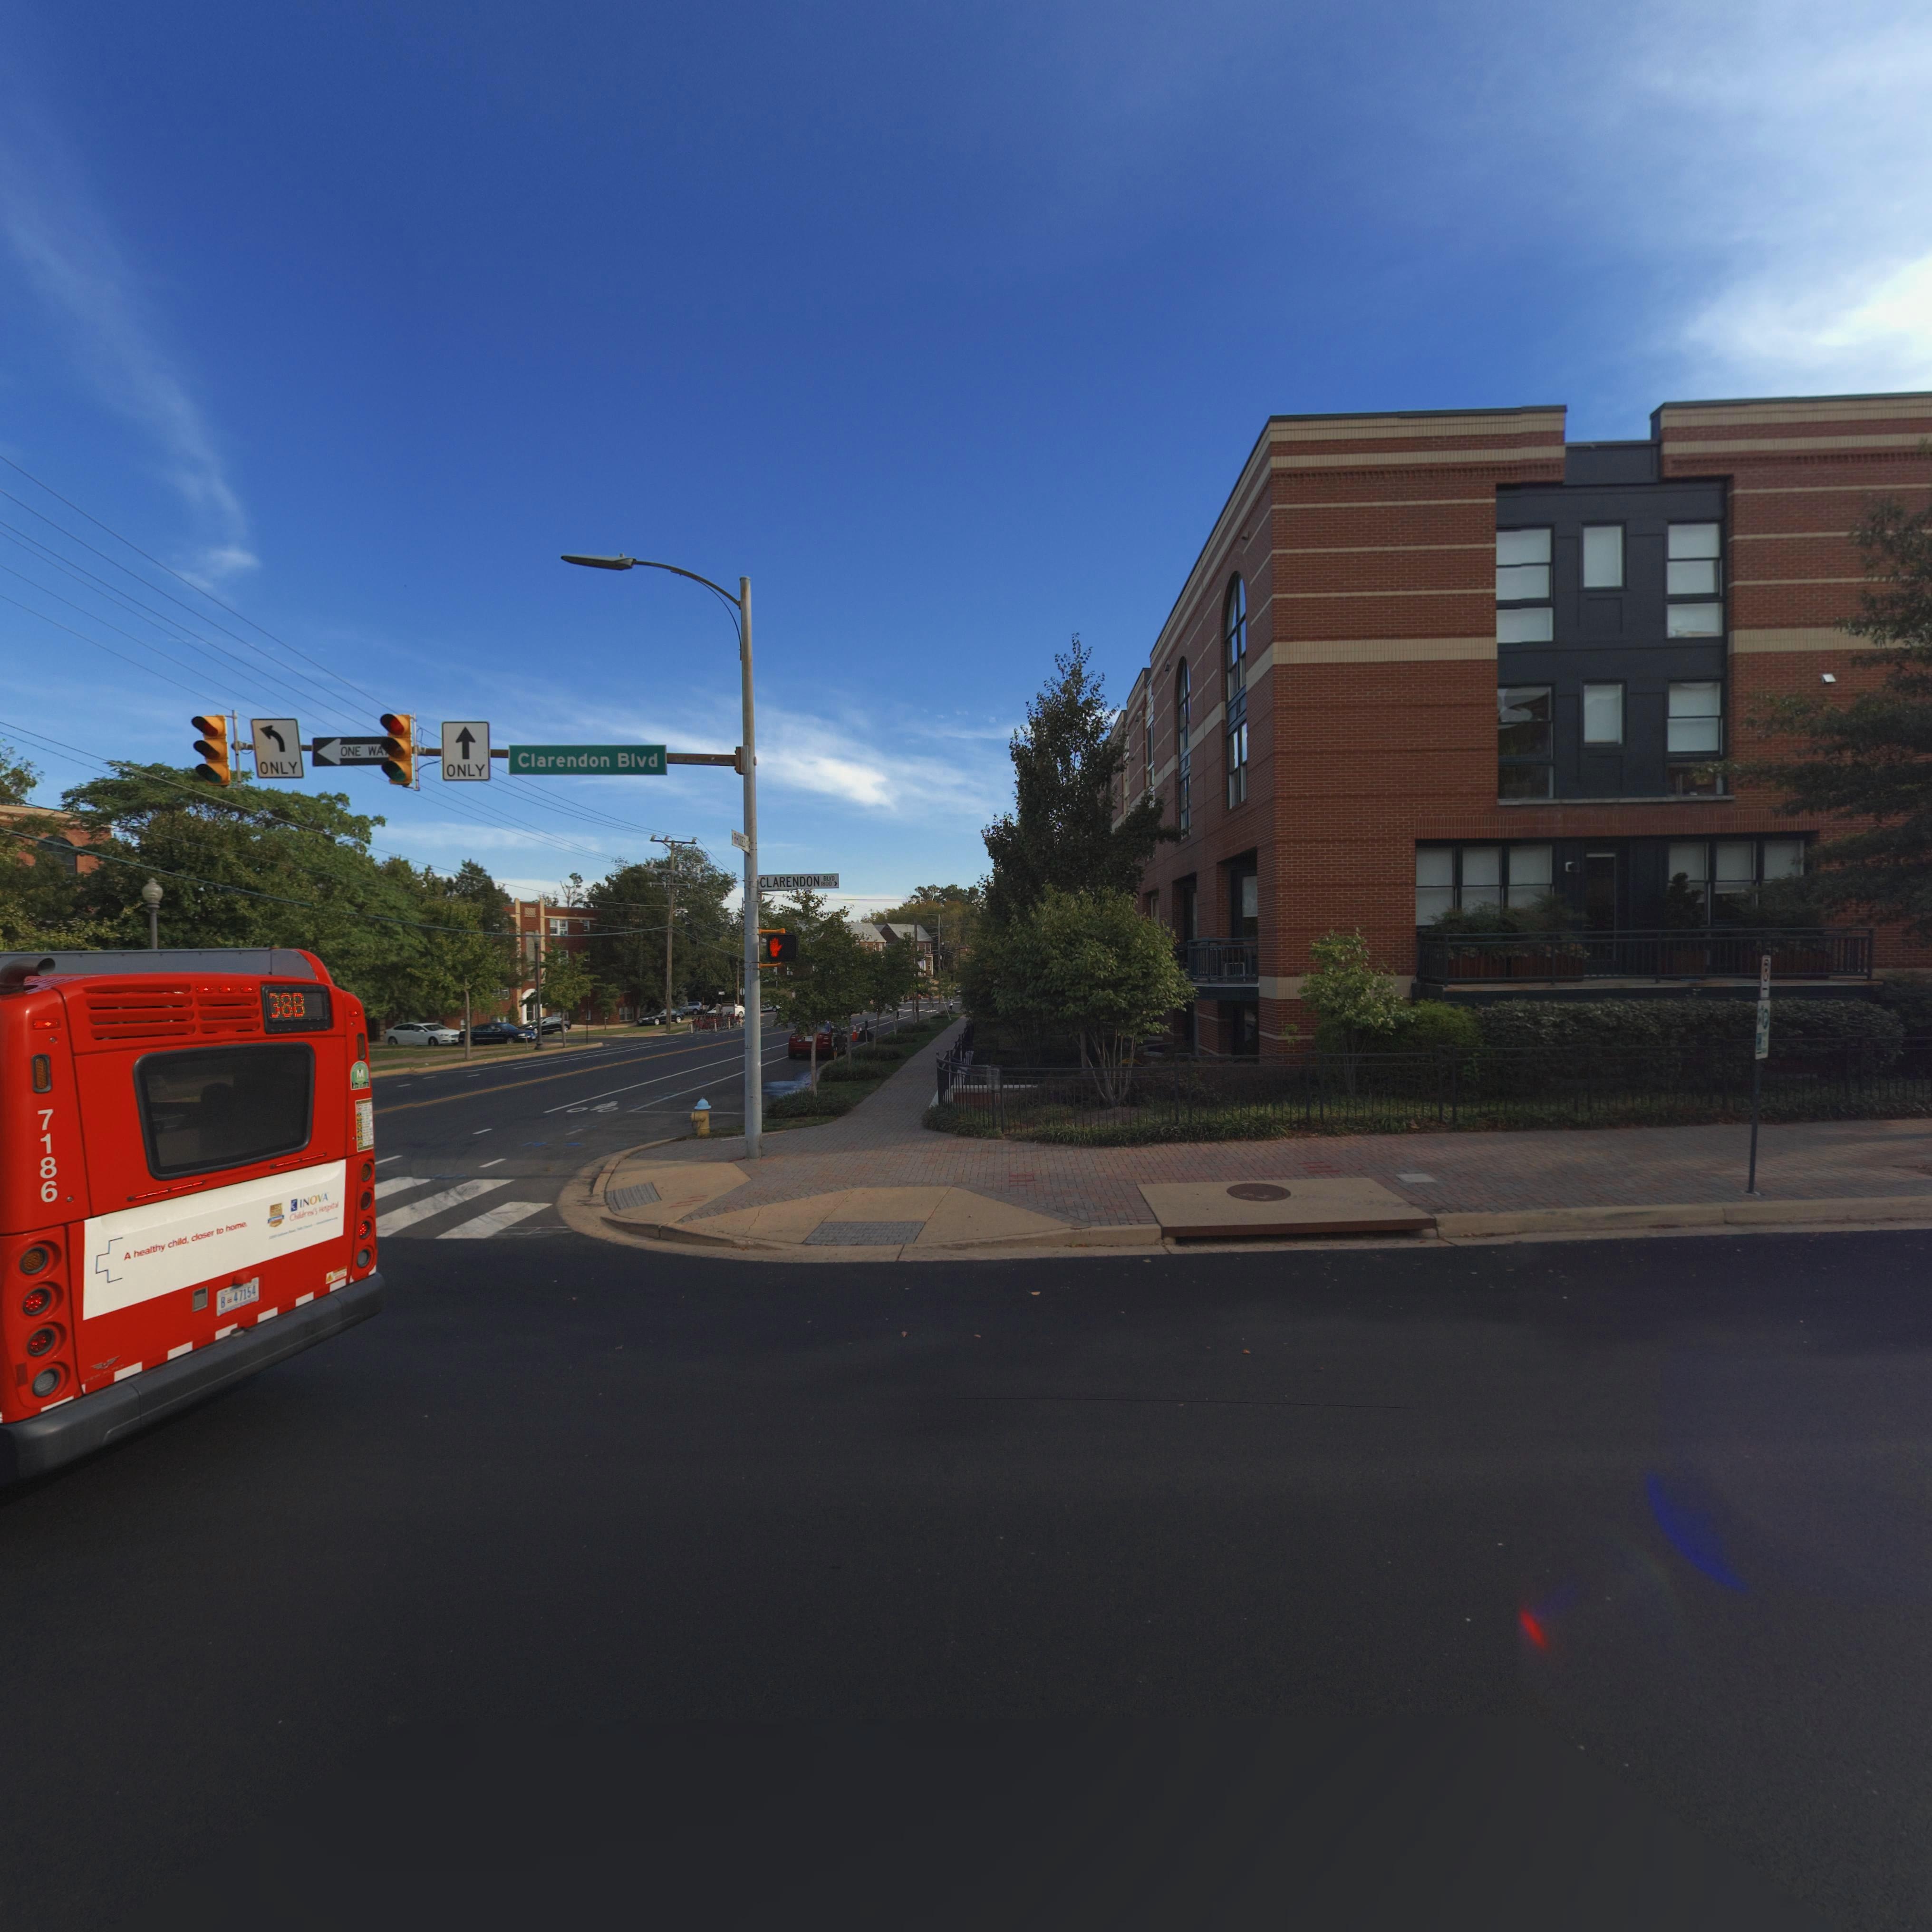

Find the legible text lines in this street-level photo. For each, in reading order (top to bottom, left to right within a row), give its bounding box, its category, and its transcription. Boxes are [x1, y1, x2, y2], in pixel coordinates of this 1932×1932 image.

[258, 759, 299, 776] None: ONLY
[339, 744, 385, 758] None: ONE WA
[445, 762, 487, 779] None: ONLY
[516, 750, 660, 770] StreetName: Clarendon Blvd
[758, 875, 836, 889] StreetName: CLARENDON BLVD
[820, 880, 839, 888] StreetNumberRange: 1800->
[278, 990, 308, 1019] None: 8B
[356, 1067, 366, 1079] None: M
[34, 1106, 61, 1205] None: 7186
[299, 1191, 330, 1209] None: INOVA
[122, 1219, 250, 1263] None: A healthy child, closer to home.
[220, 1282, 259, 1310] None: B * 47154